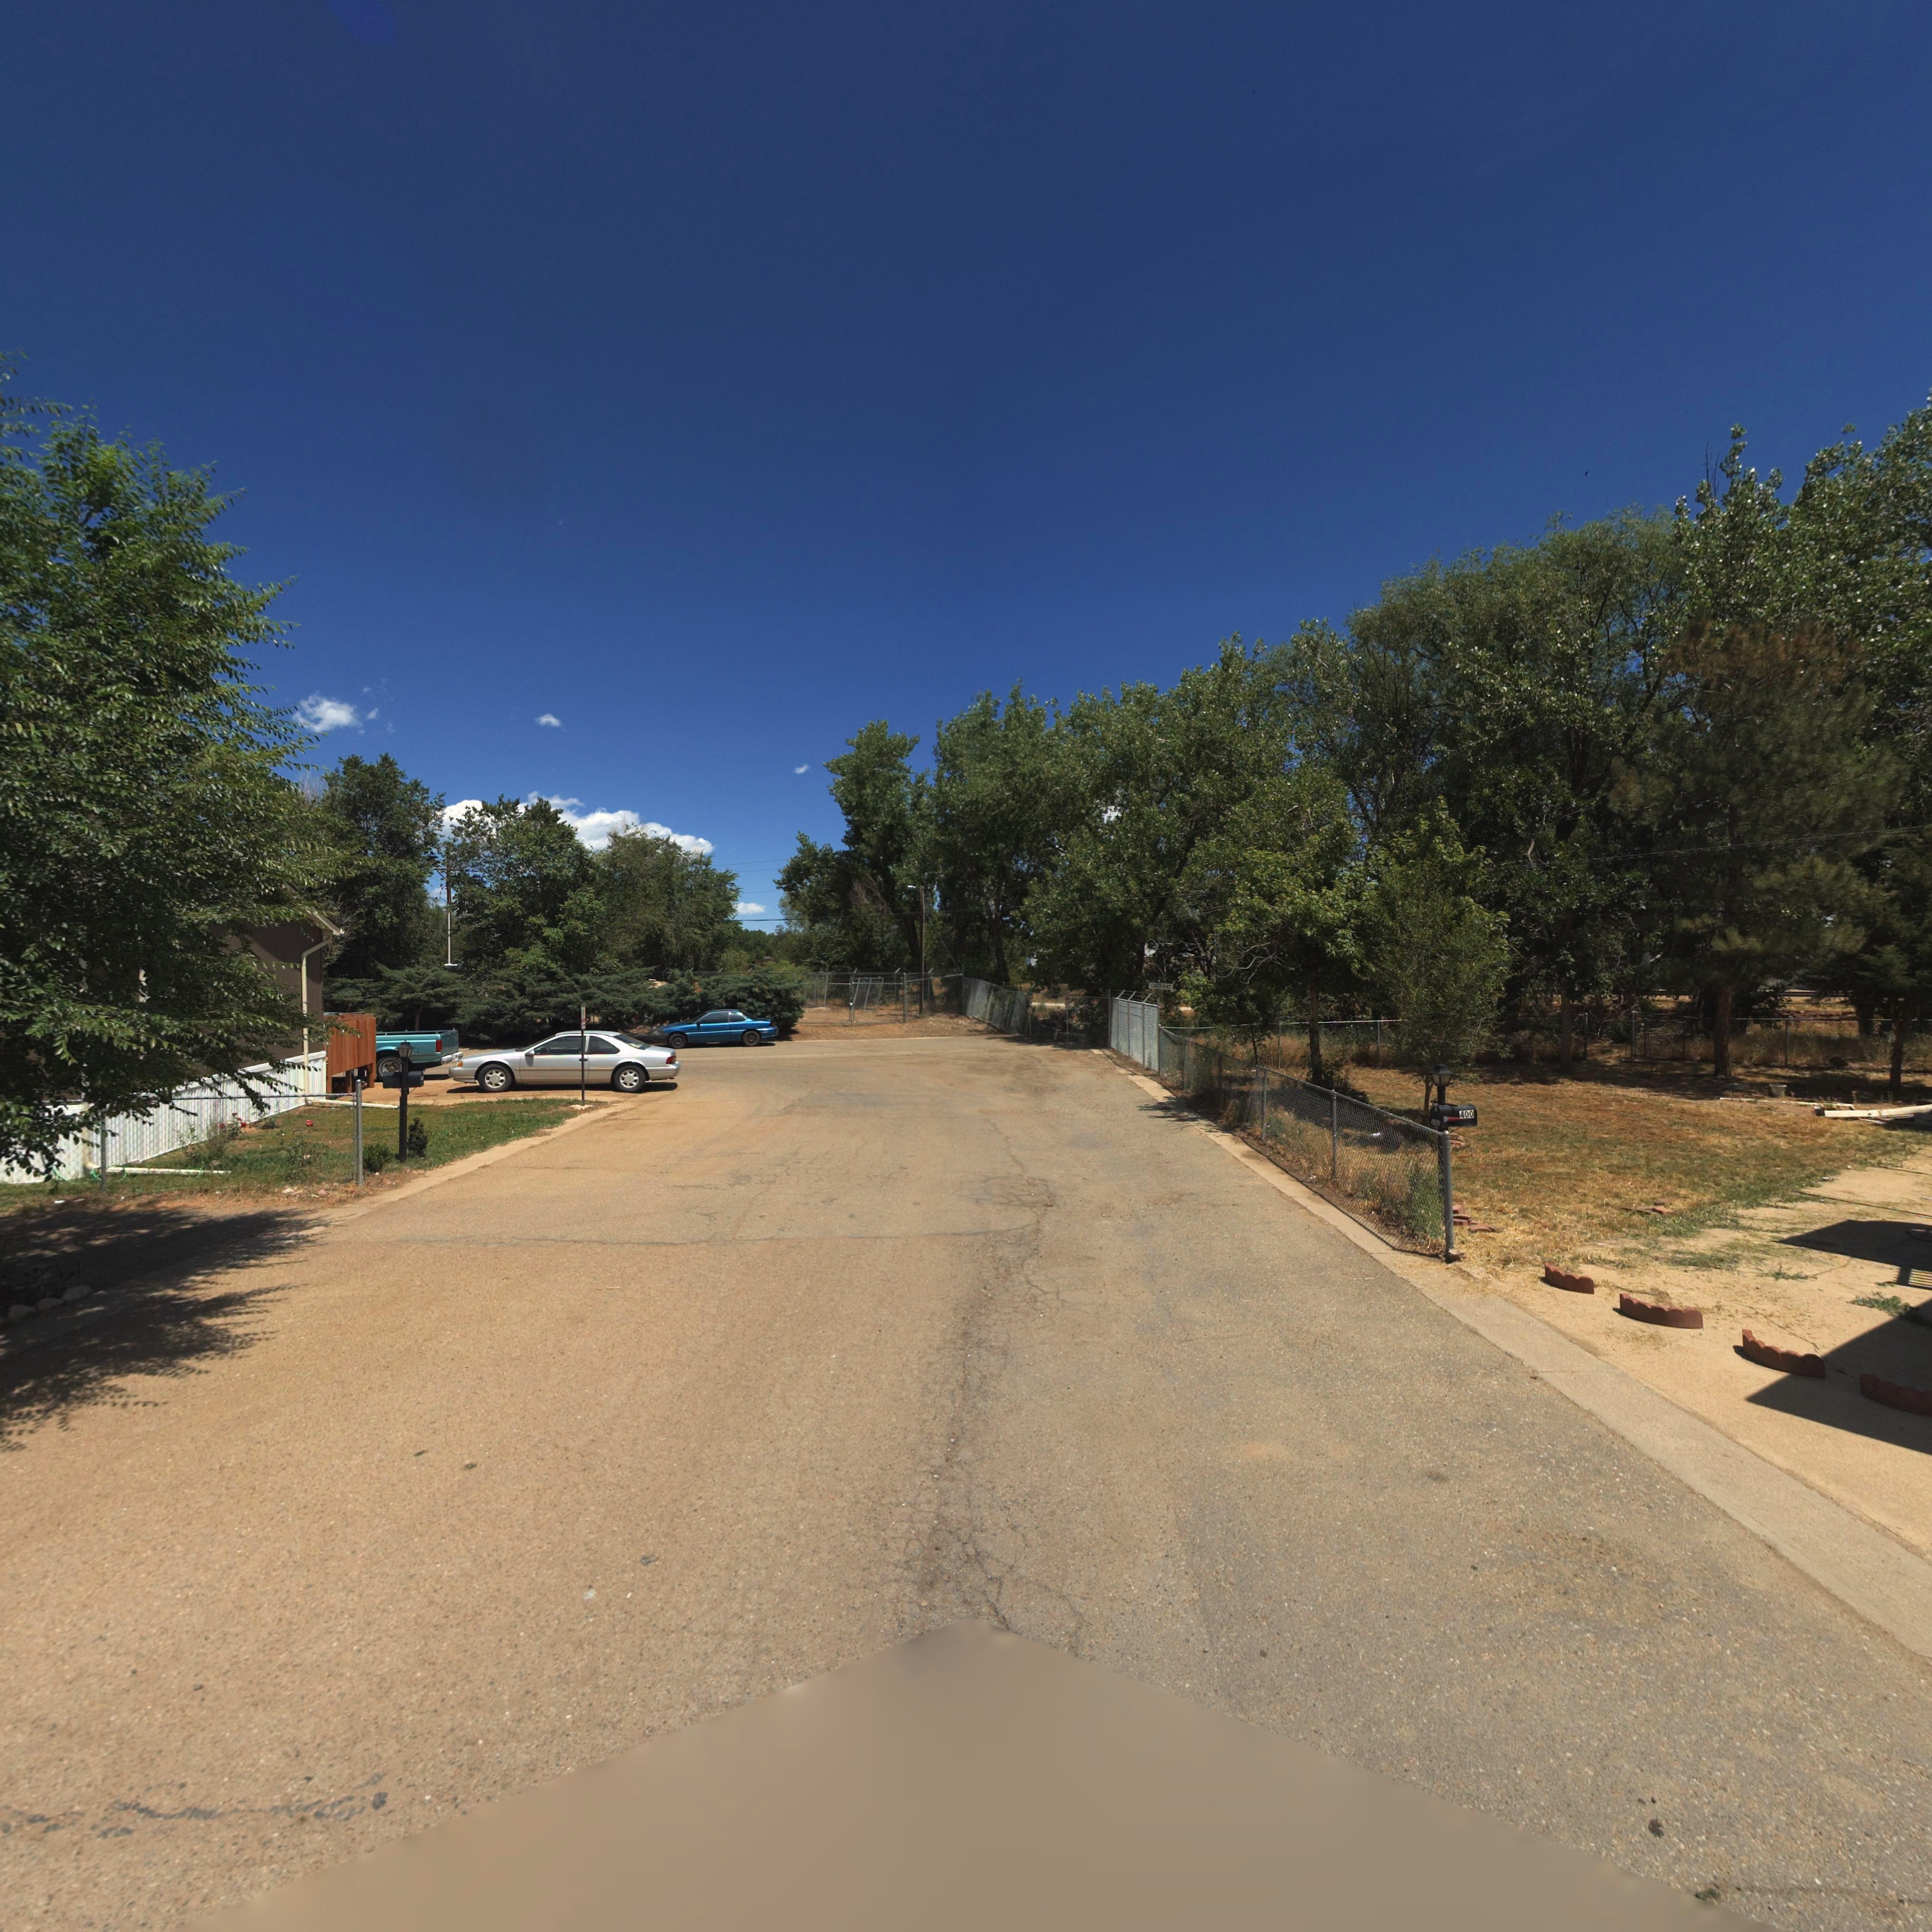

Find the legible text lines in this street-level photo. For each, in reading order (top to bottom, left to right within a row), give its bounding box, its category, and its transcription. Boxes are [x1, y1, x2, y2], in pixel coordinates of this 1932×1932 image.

[1150, 983, 1172, 989] StreetName: CENTER PLACE
[1459, 1110, 1474, 1118] StreetNumber: 400
[1431, 1119, 1440, 1126] StreetNumber: 400